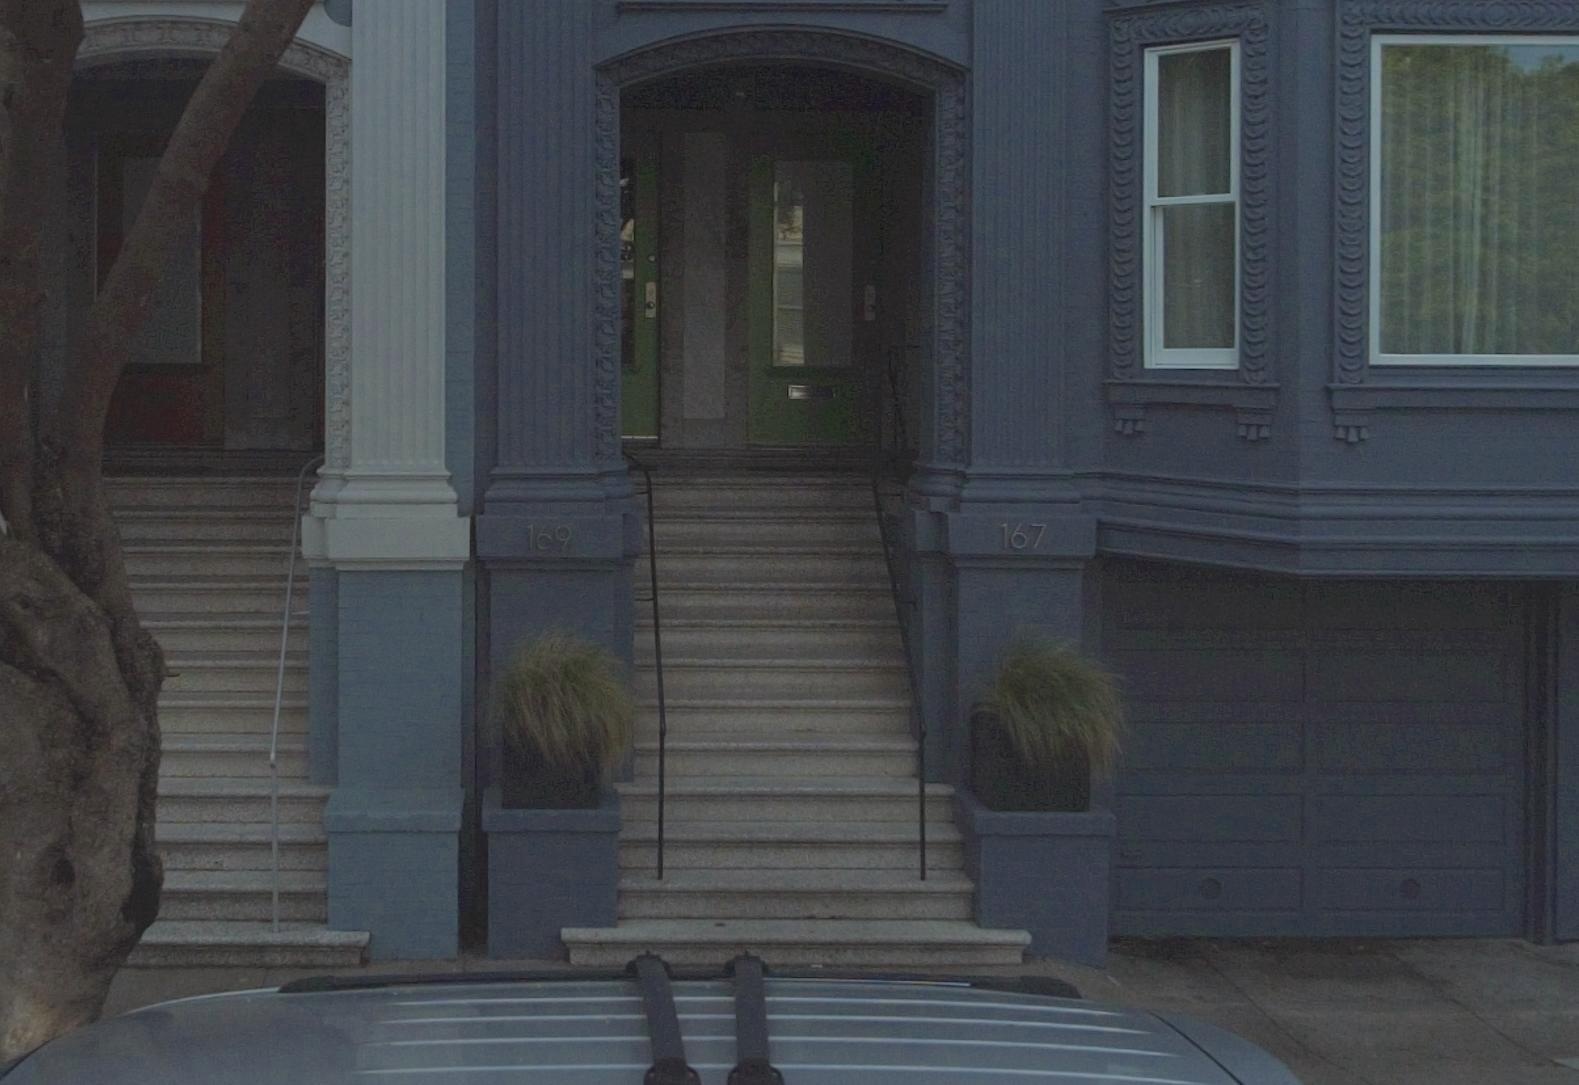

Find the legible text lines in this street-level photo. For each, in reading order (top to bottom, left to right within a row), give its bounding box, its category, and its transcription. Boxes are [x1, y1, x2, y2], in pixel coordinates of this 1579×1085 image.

[525, 522, 573, 555] StreetNumber: 169
[999, 521, 1048, 550] StreetNumber: 167